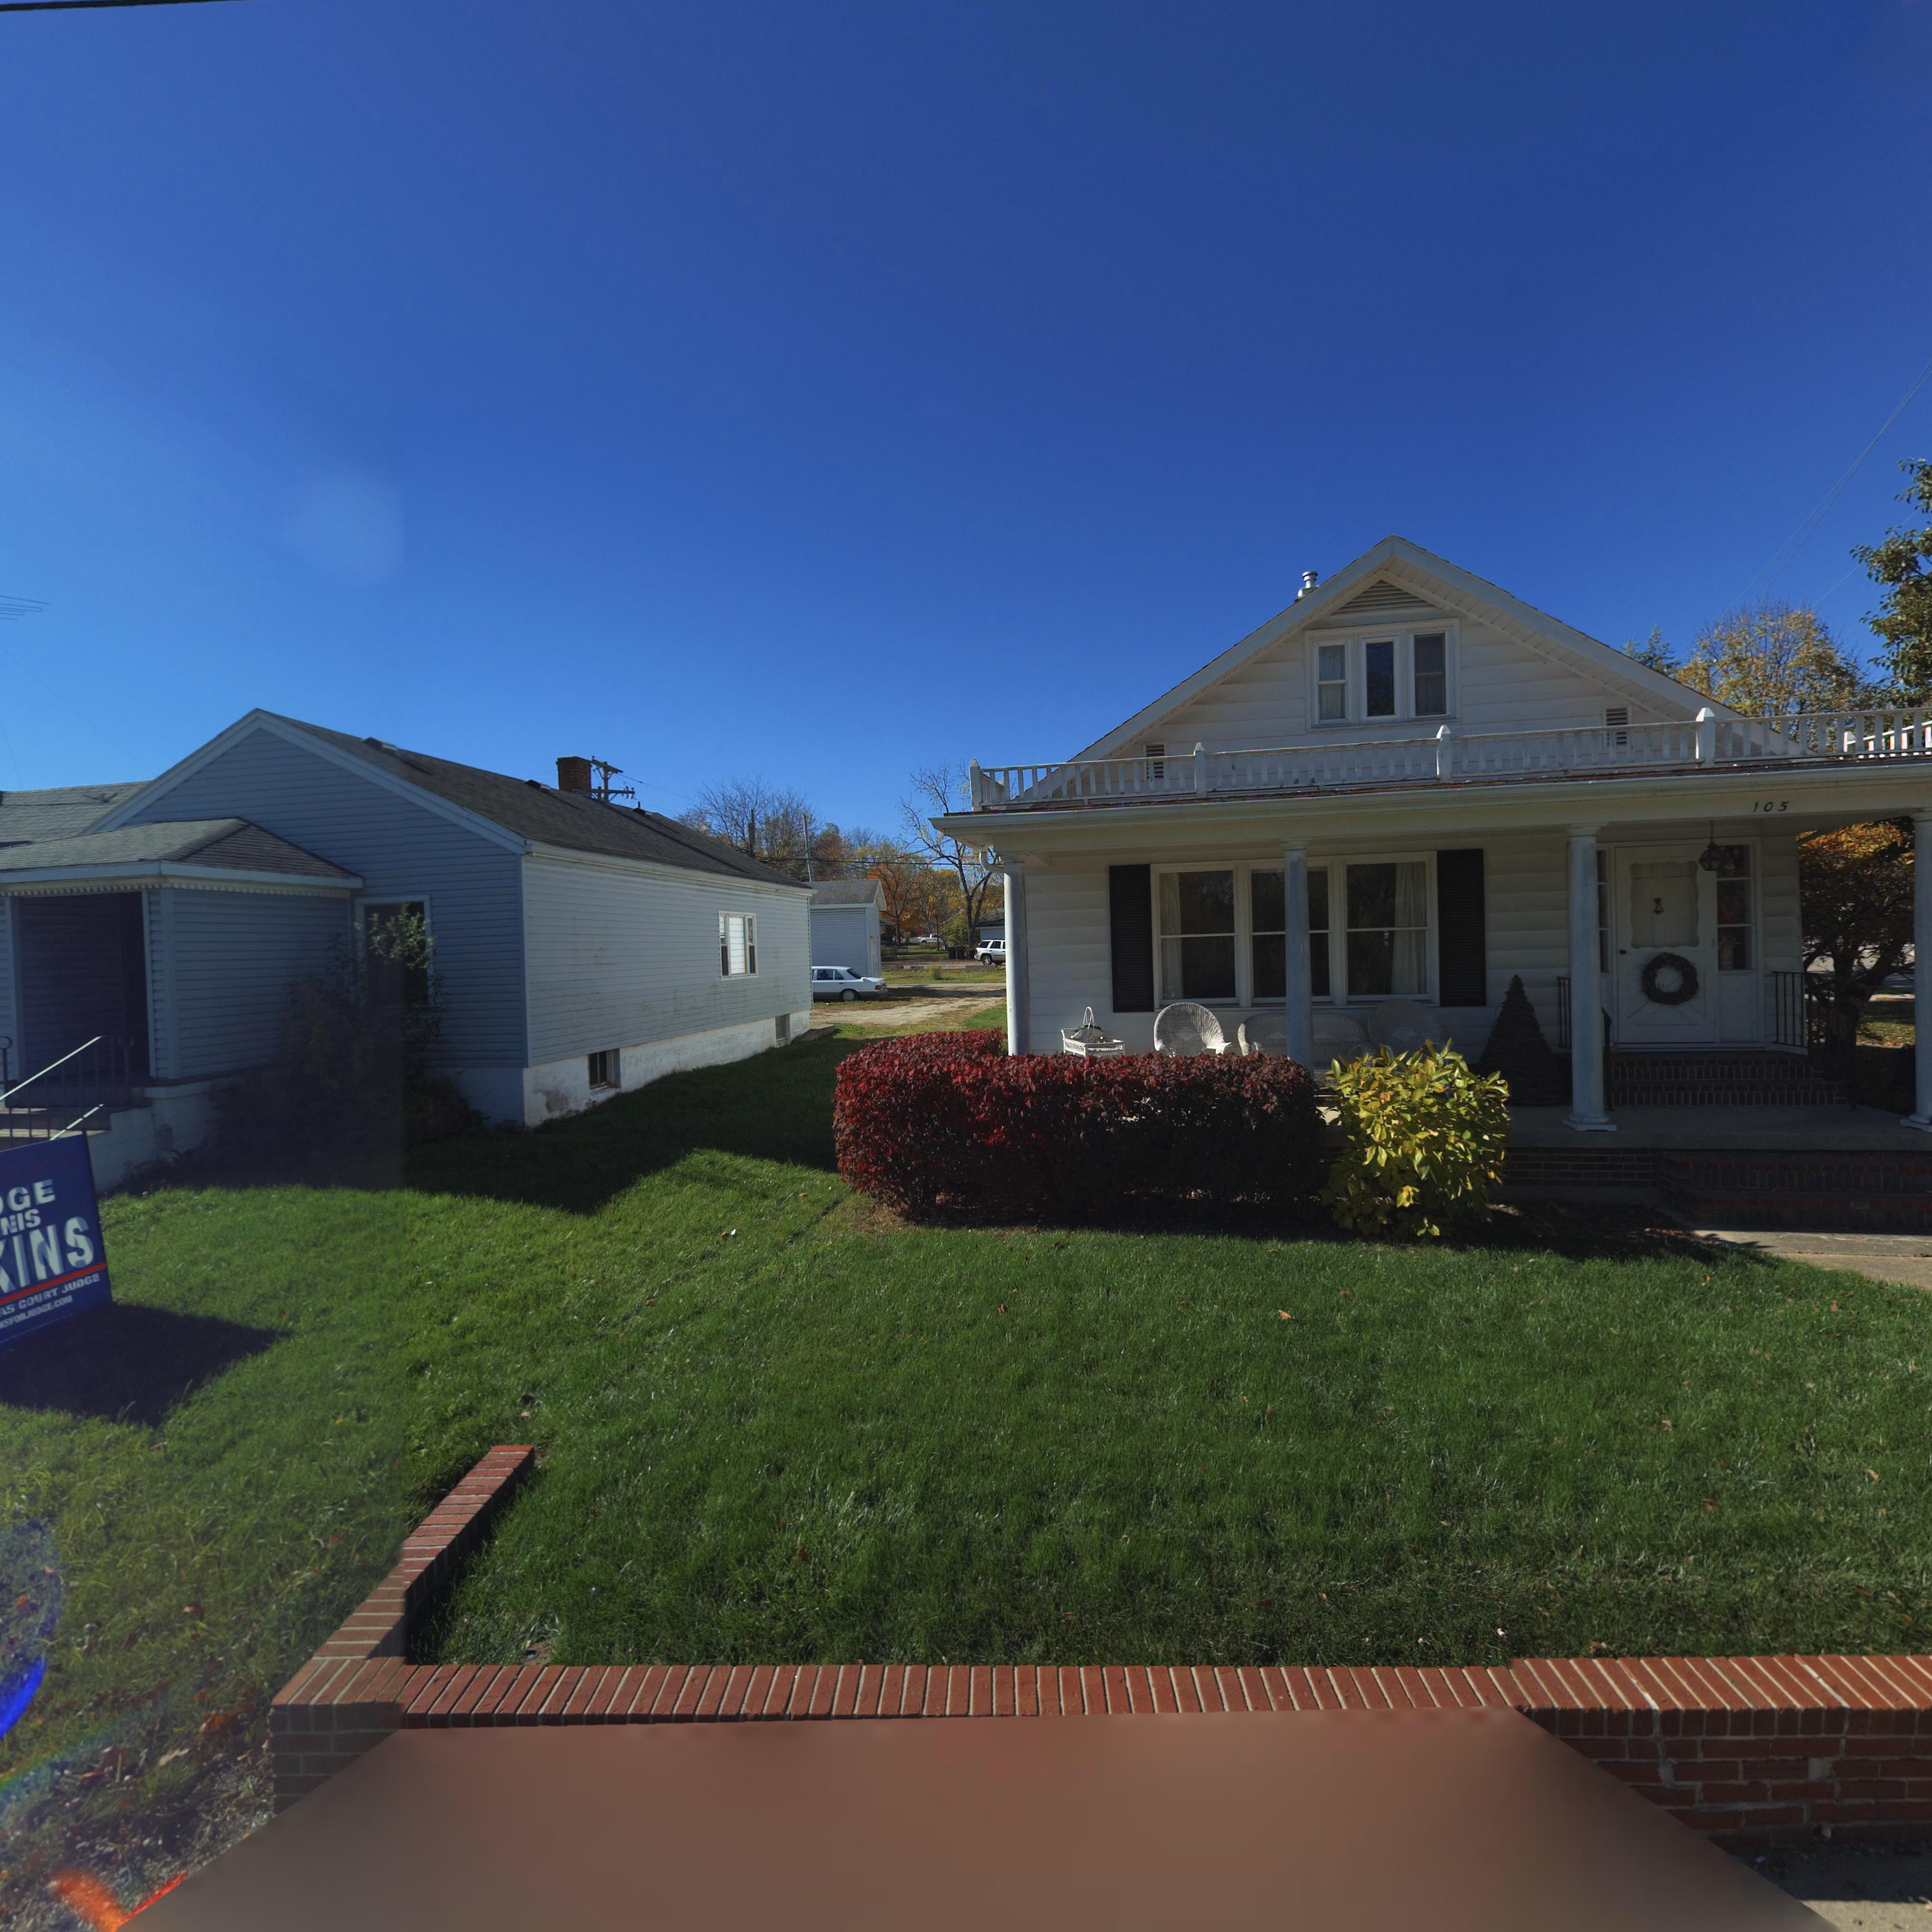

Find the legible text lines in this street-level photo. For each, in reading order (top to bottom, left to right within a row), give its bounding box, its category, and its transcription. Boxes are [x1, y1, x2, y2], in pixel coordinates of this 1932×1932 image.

[1751, 800, 1789, 813] StreetNumber: 105